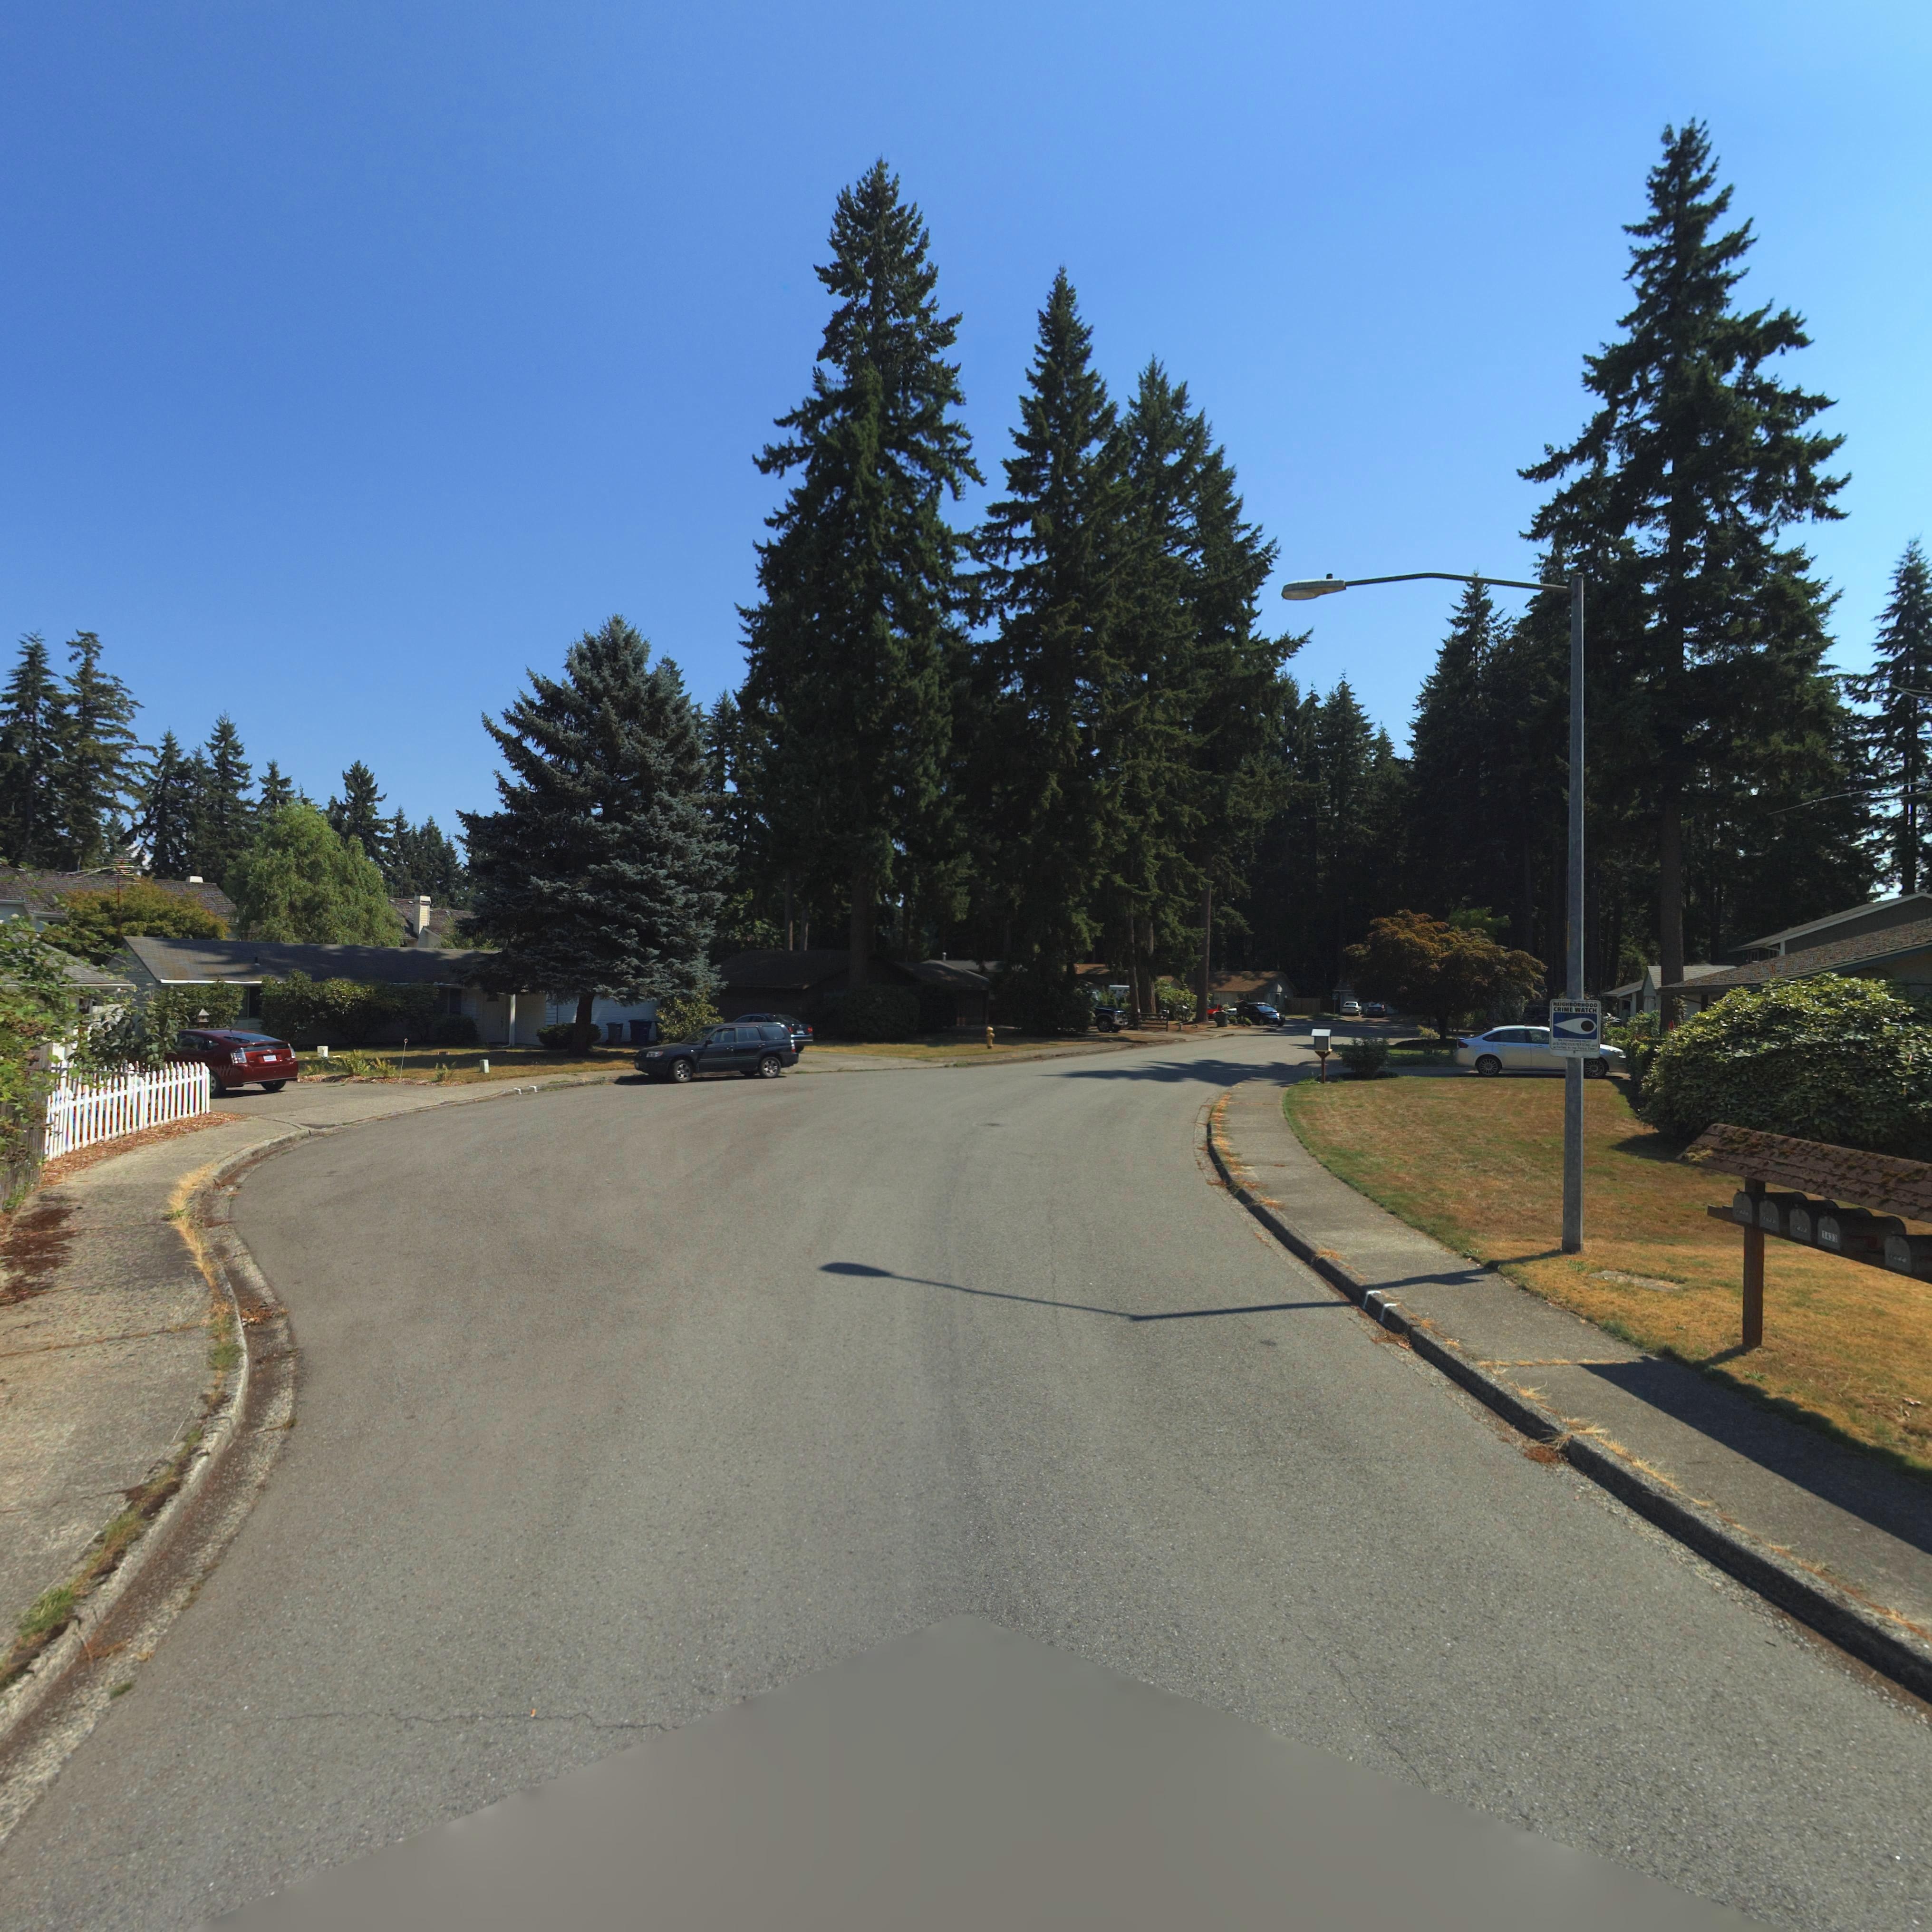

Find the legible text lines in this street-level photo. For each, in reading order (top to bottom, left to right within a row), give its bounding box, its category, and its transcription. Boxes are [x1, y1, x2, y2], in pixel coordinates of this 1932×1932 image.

[1762, 1215, 1777, 1224] StreetNumber: 1**9
[1793, 1224, 1809, 1234] StreetNumber: 14*2
[1822, 1229, 1837, 1243] StreetNumber: 1433
[1888, 1252, 1908, 1263] StreetNumber: **4*